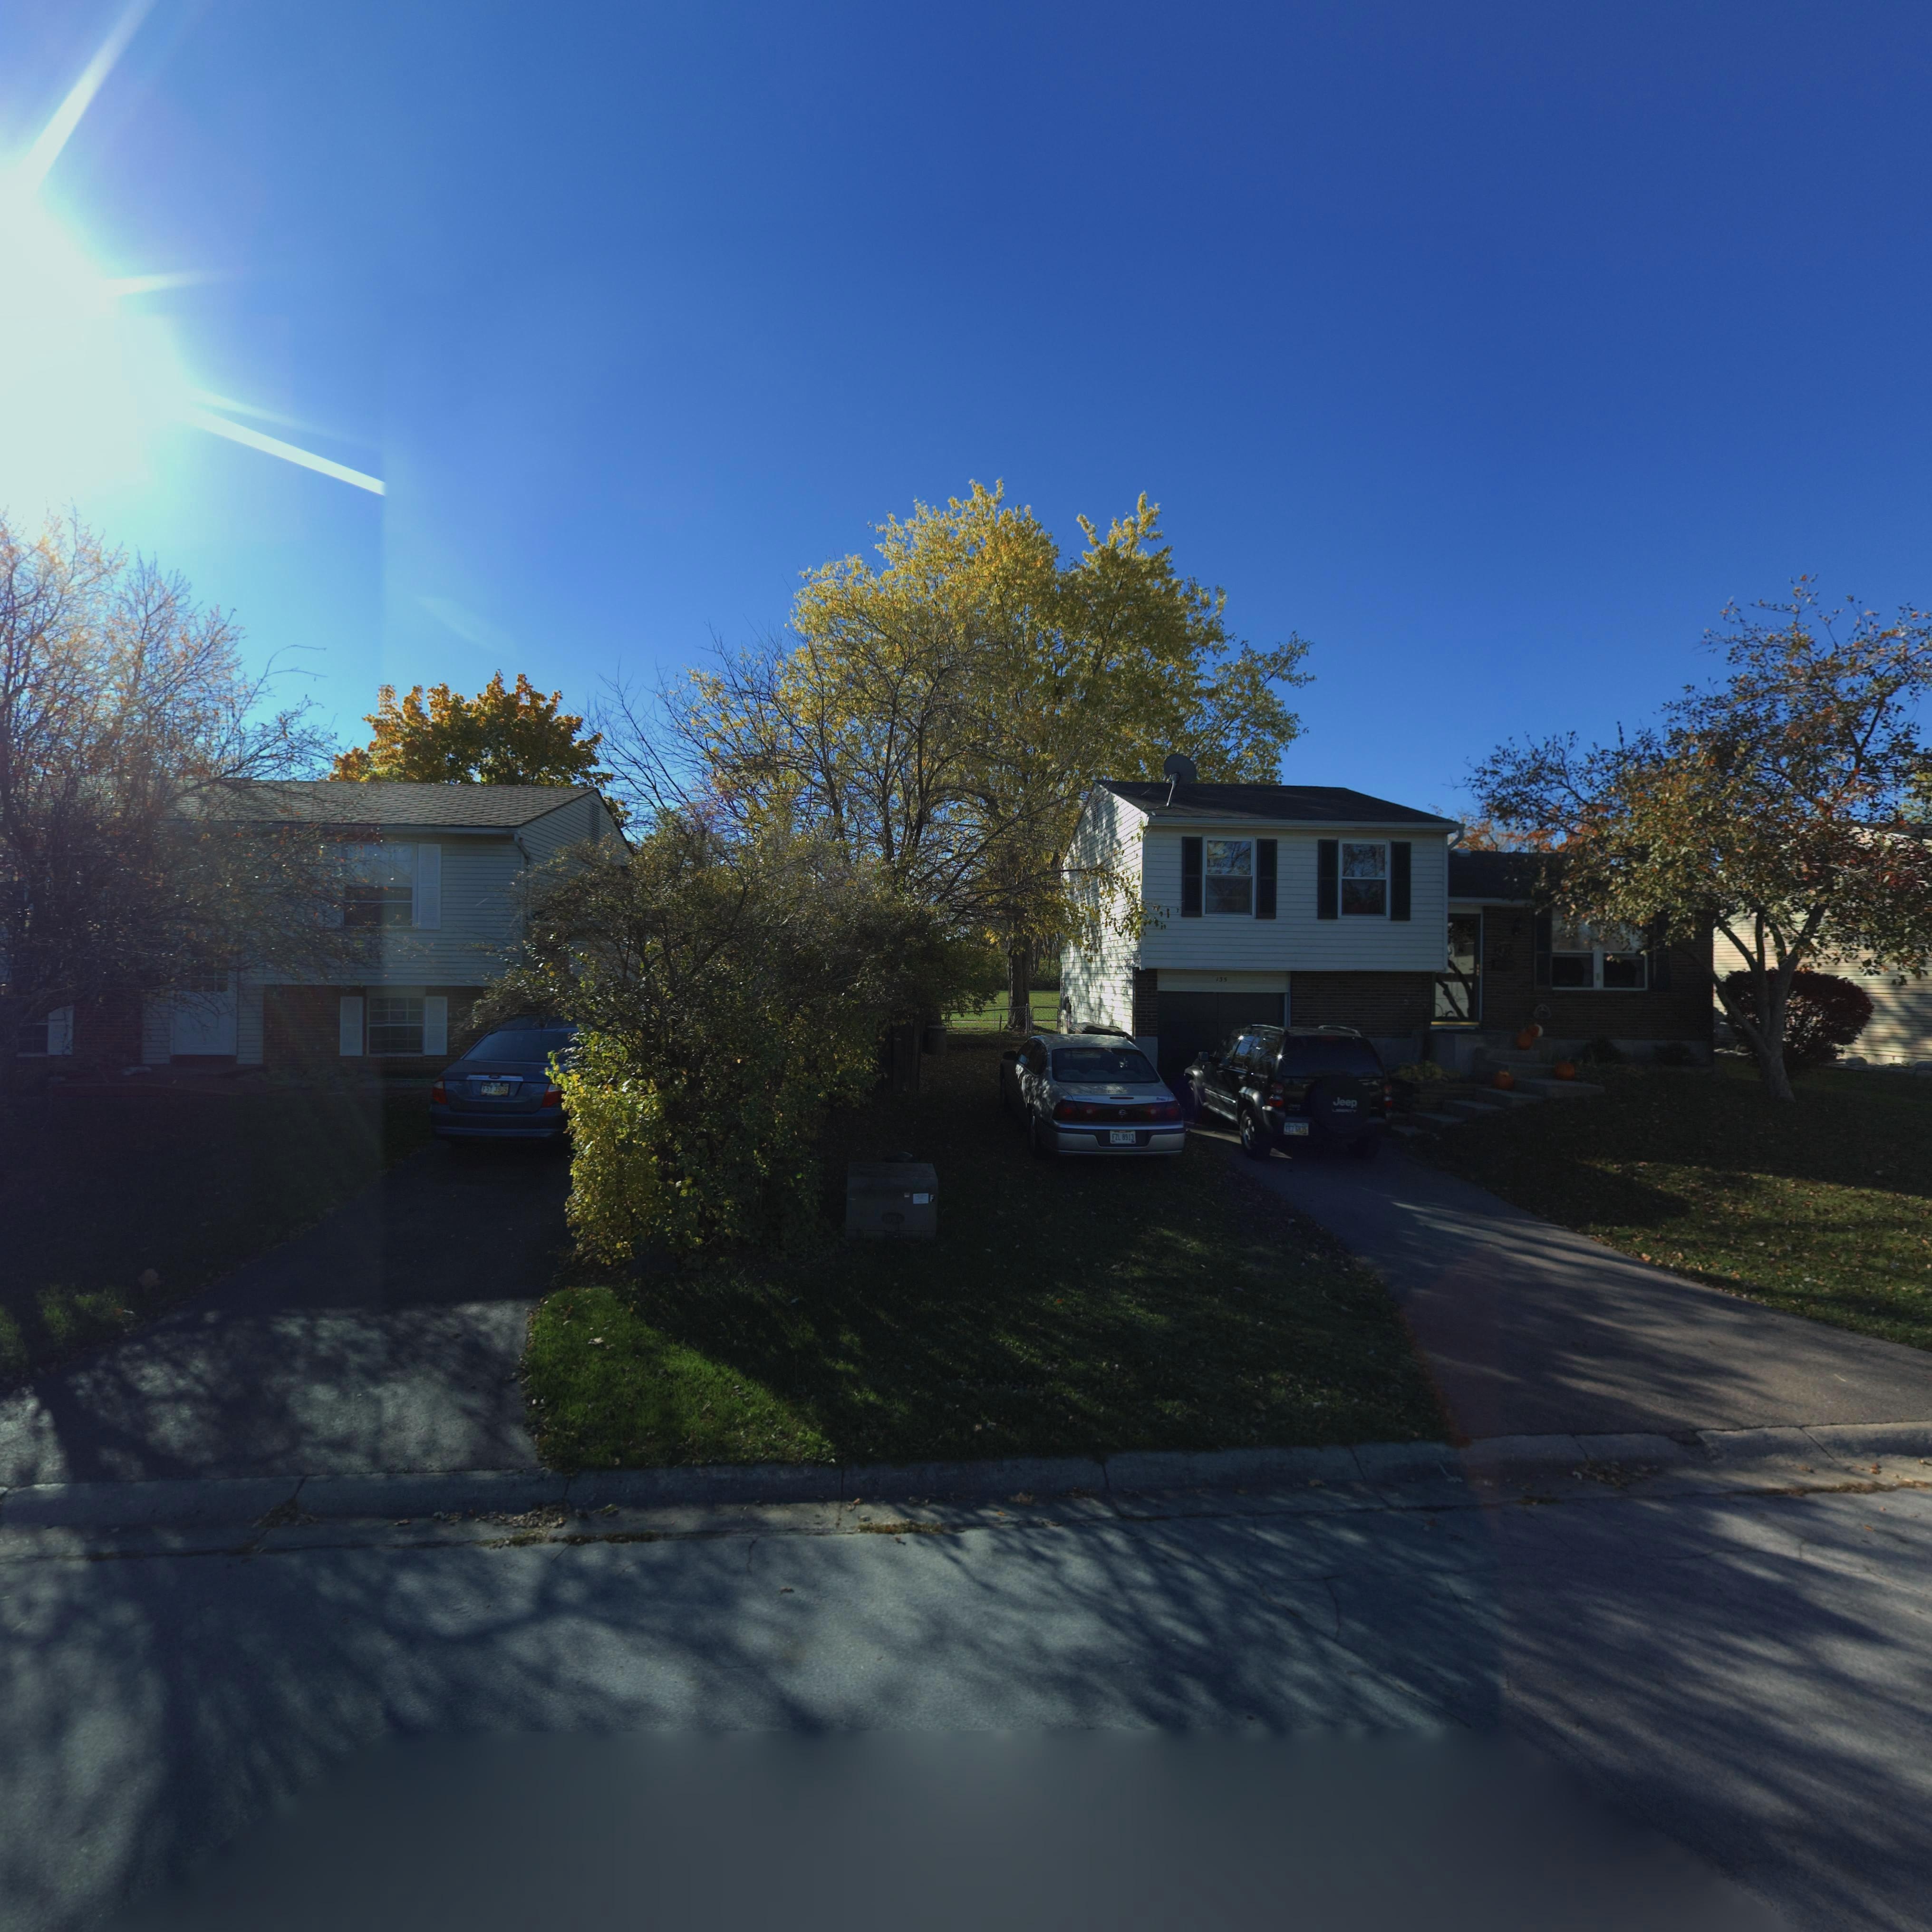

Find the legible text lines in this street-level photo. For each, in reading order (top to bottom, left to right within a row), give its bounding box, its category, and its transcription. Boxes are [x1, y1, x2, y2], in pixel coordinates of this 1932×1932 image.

[1216, 976, 1228, 983] StreetNumber: 135